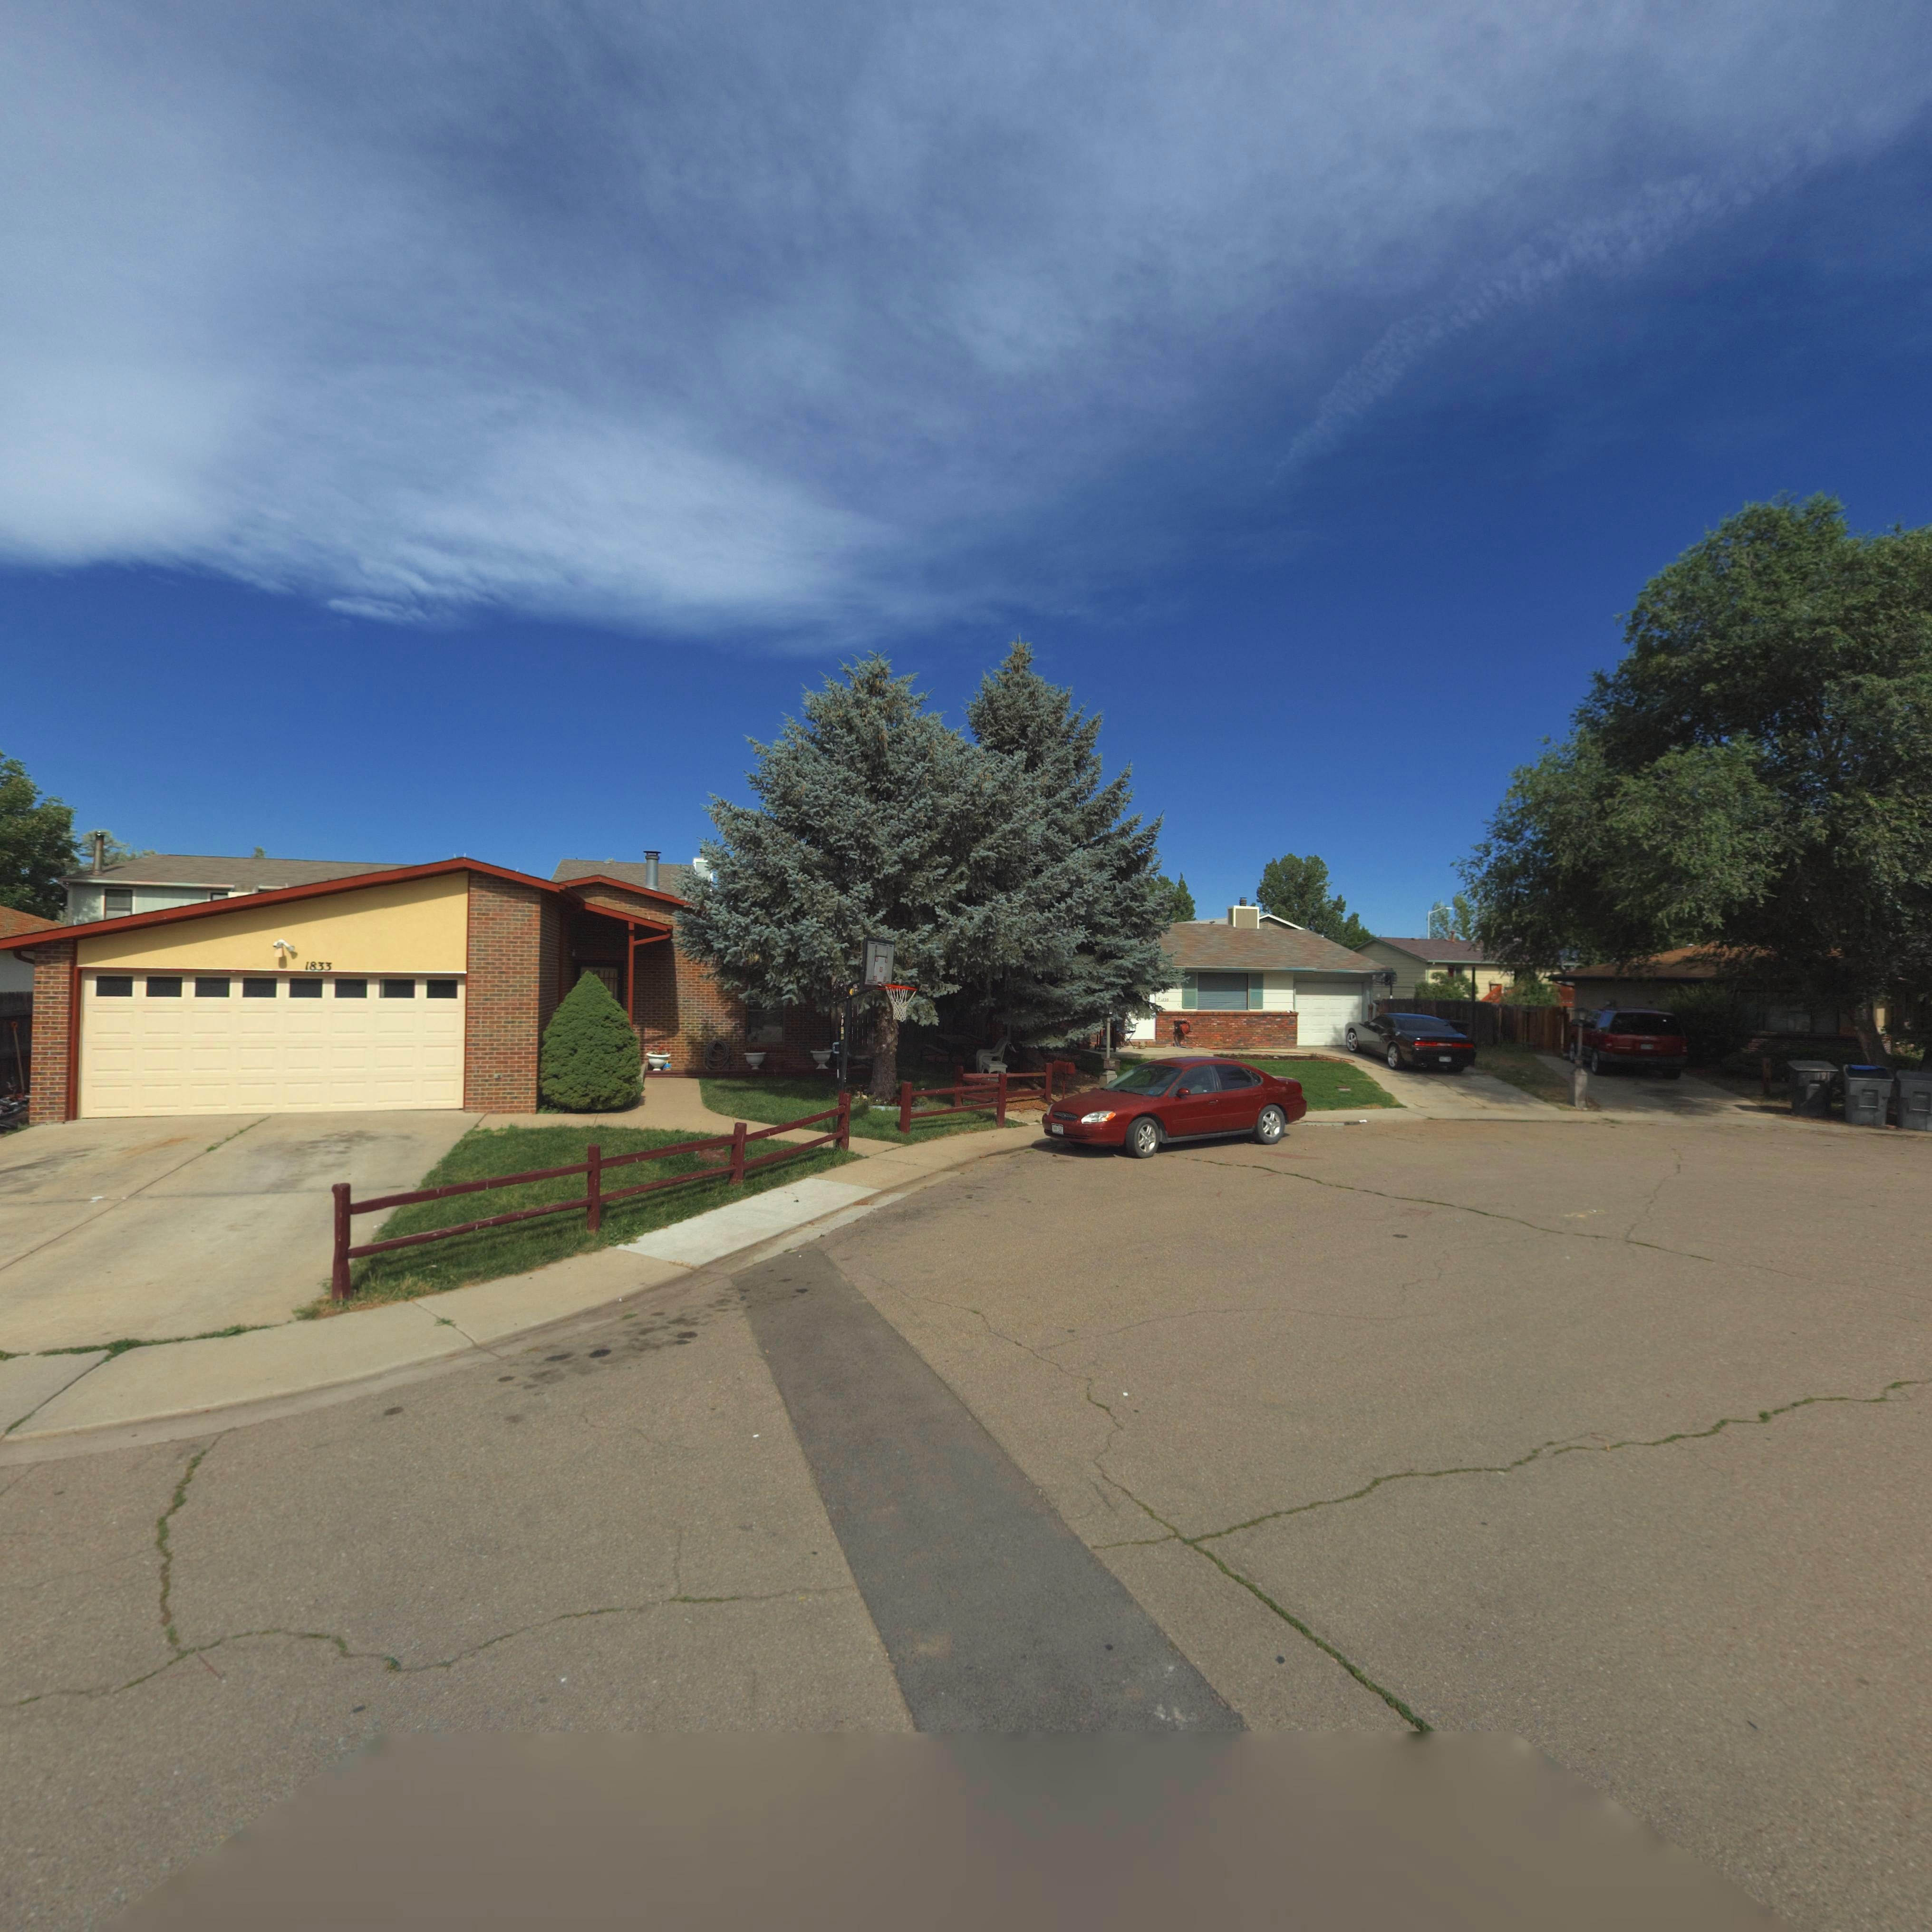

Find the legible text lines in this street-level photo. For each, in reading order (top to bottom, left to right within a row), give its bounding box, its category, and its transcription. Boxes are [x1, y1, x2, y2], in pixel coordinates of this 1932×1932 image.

[305, 960, 332, 971] StreetNumber: 1833
[1160, 997, 1169, 1002] StreetNumber: 1***